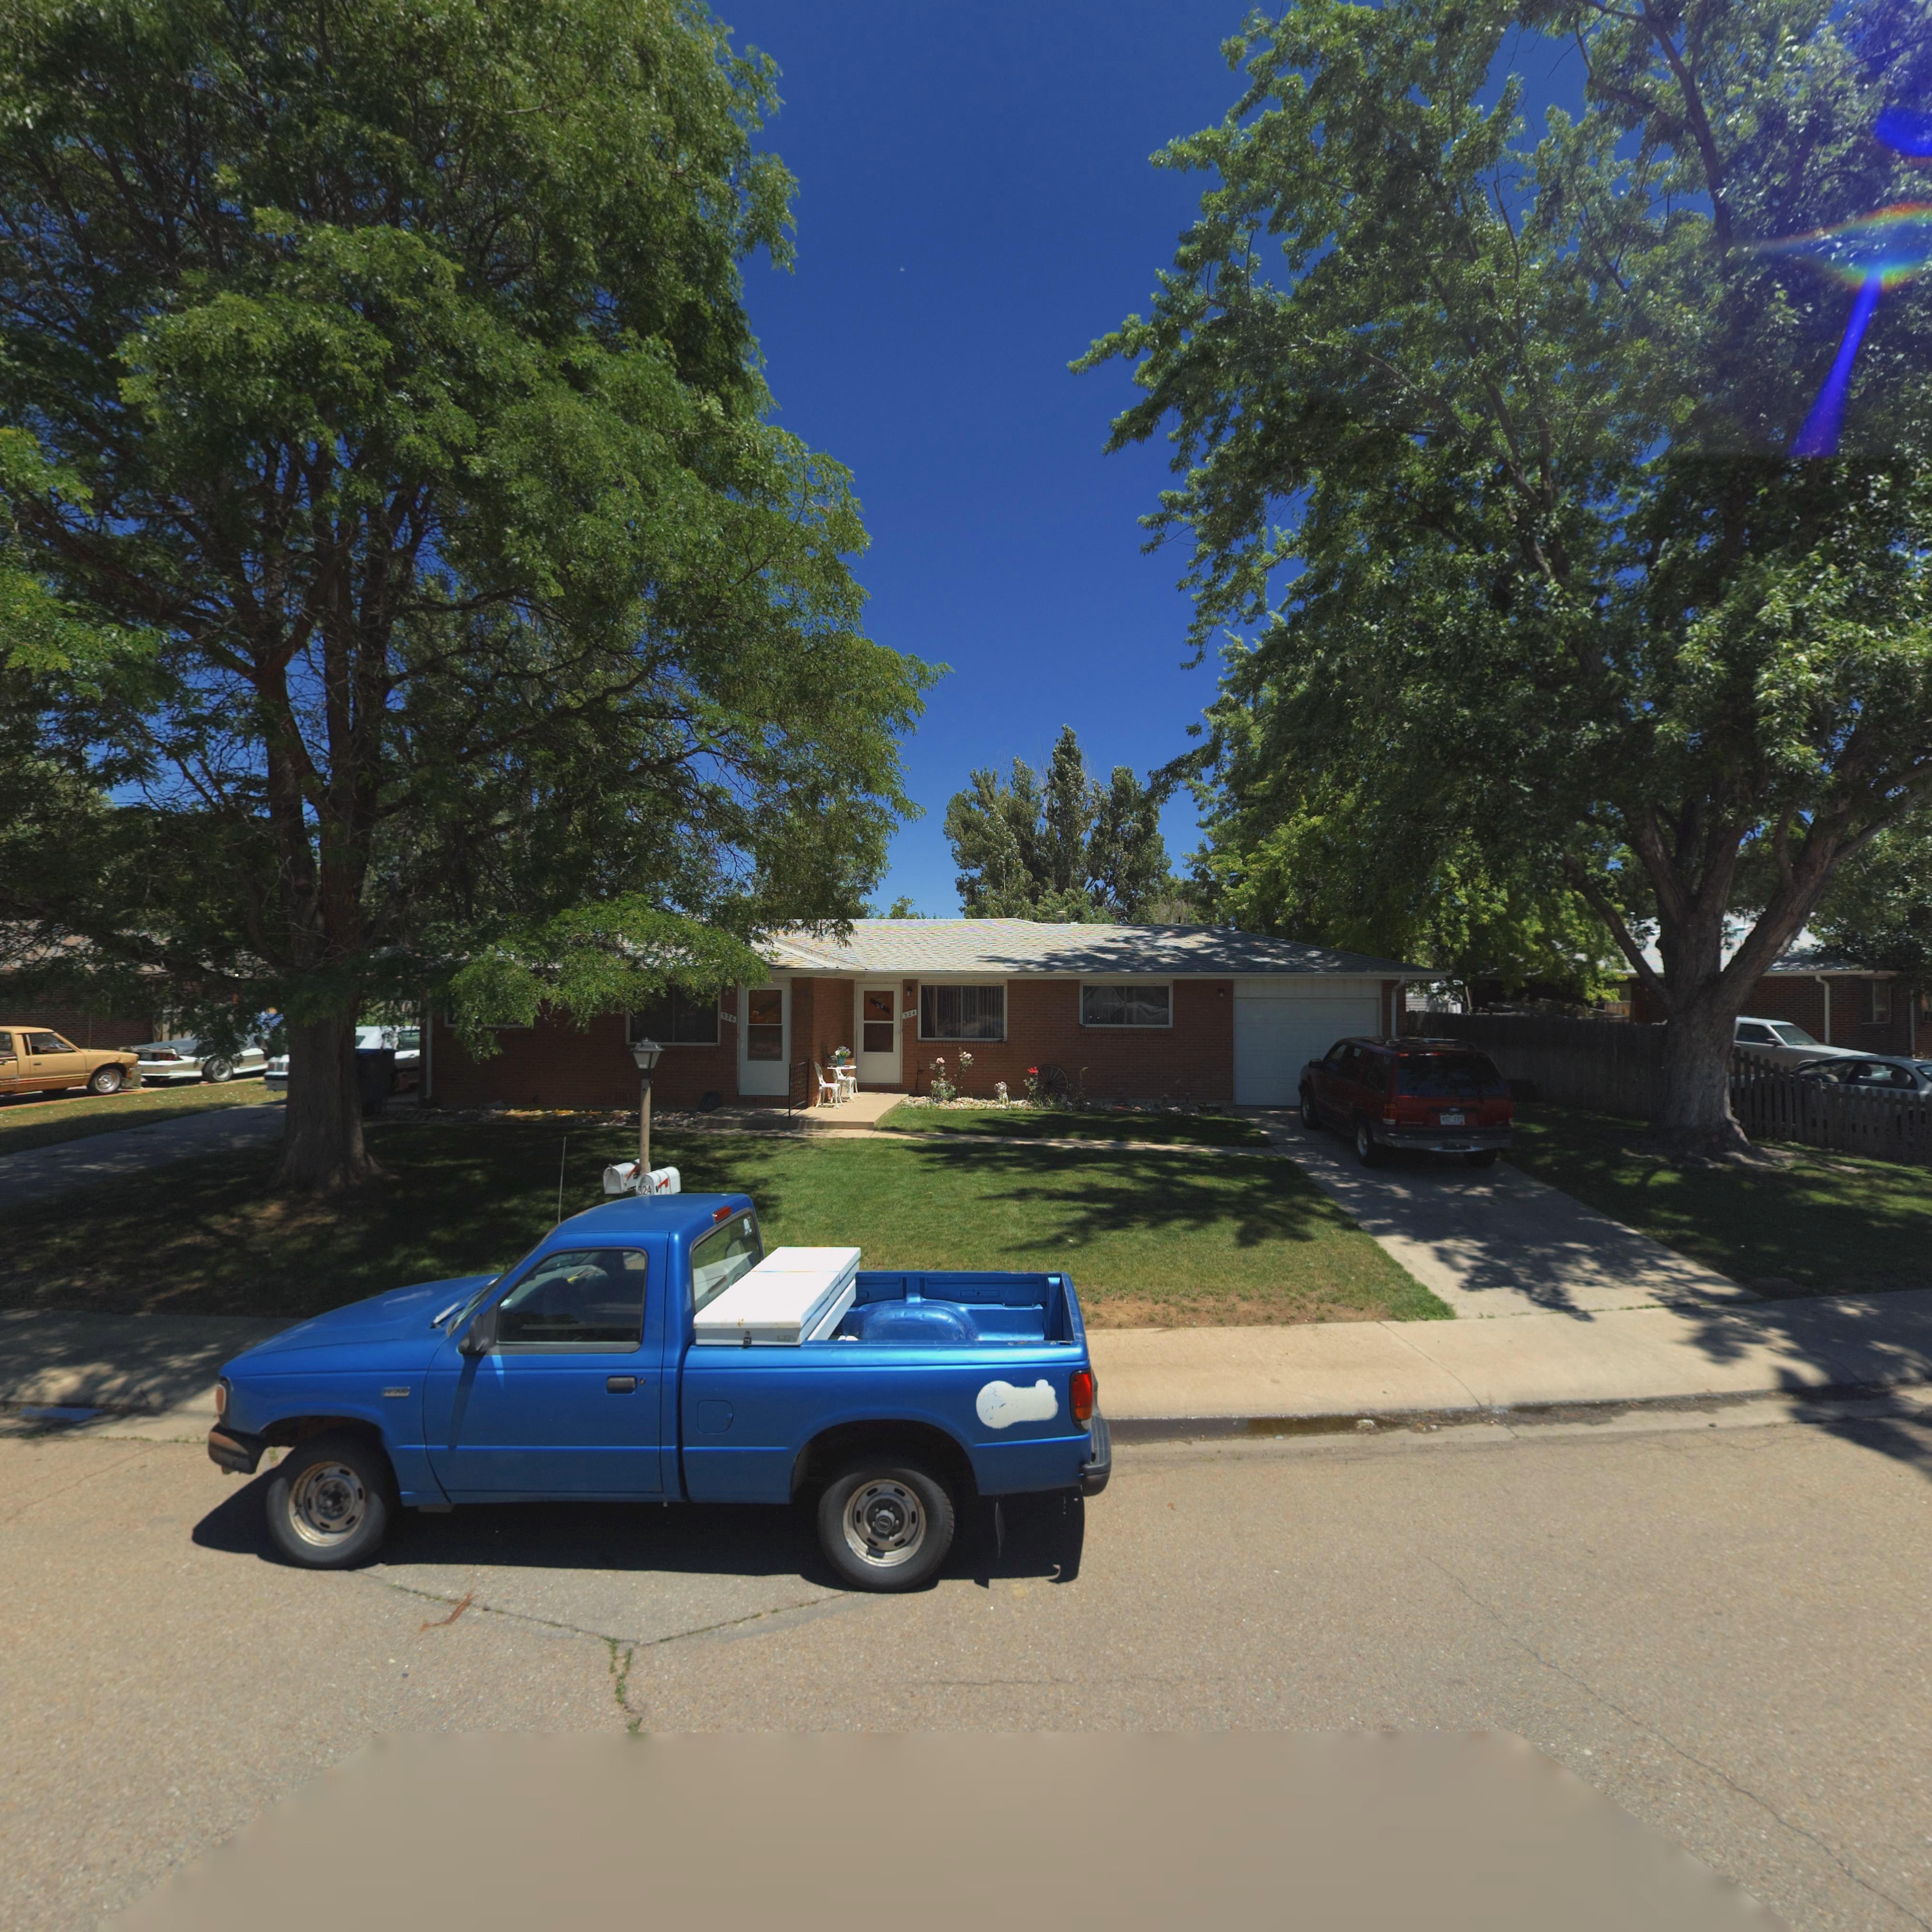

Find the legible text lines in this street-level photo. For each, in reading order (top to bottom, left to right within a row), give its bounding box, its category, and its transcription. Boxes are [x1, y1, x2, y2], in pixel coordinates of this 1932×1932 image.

[721, 1012, 734, 1022] StreetNumber: 326
[903, 1010, 916, 1018] StreetNumber: 324
[637, 1184, 651, 1195] StreetNumber: 324